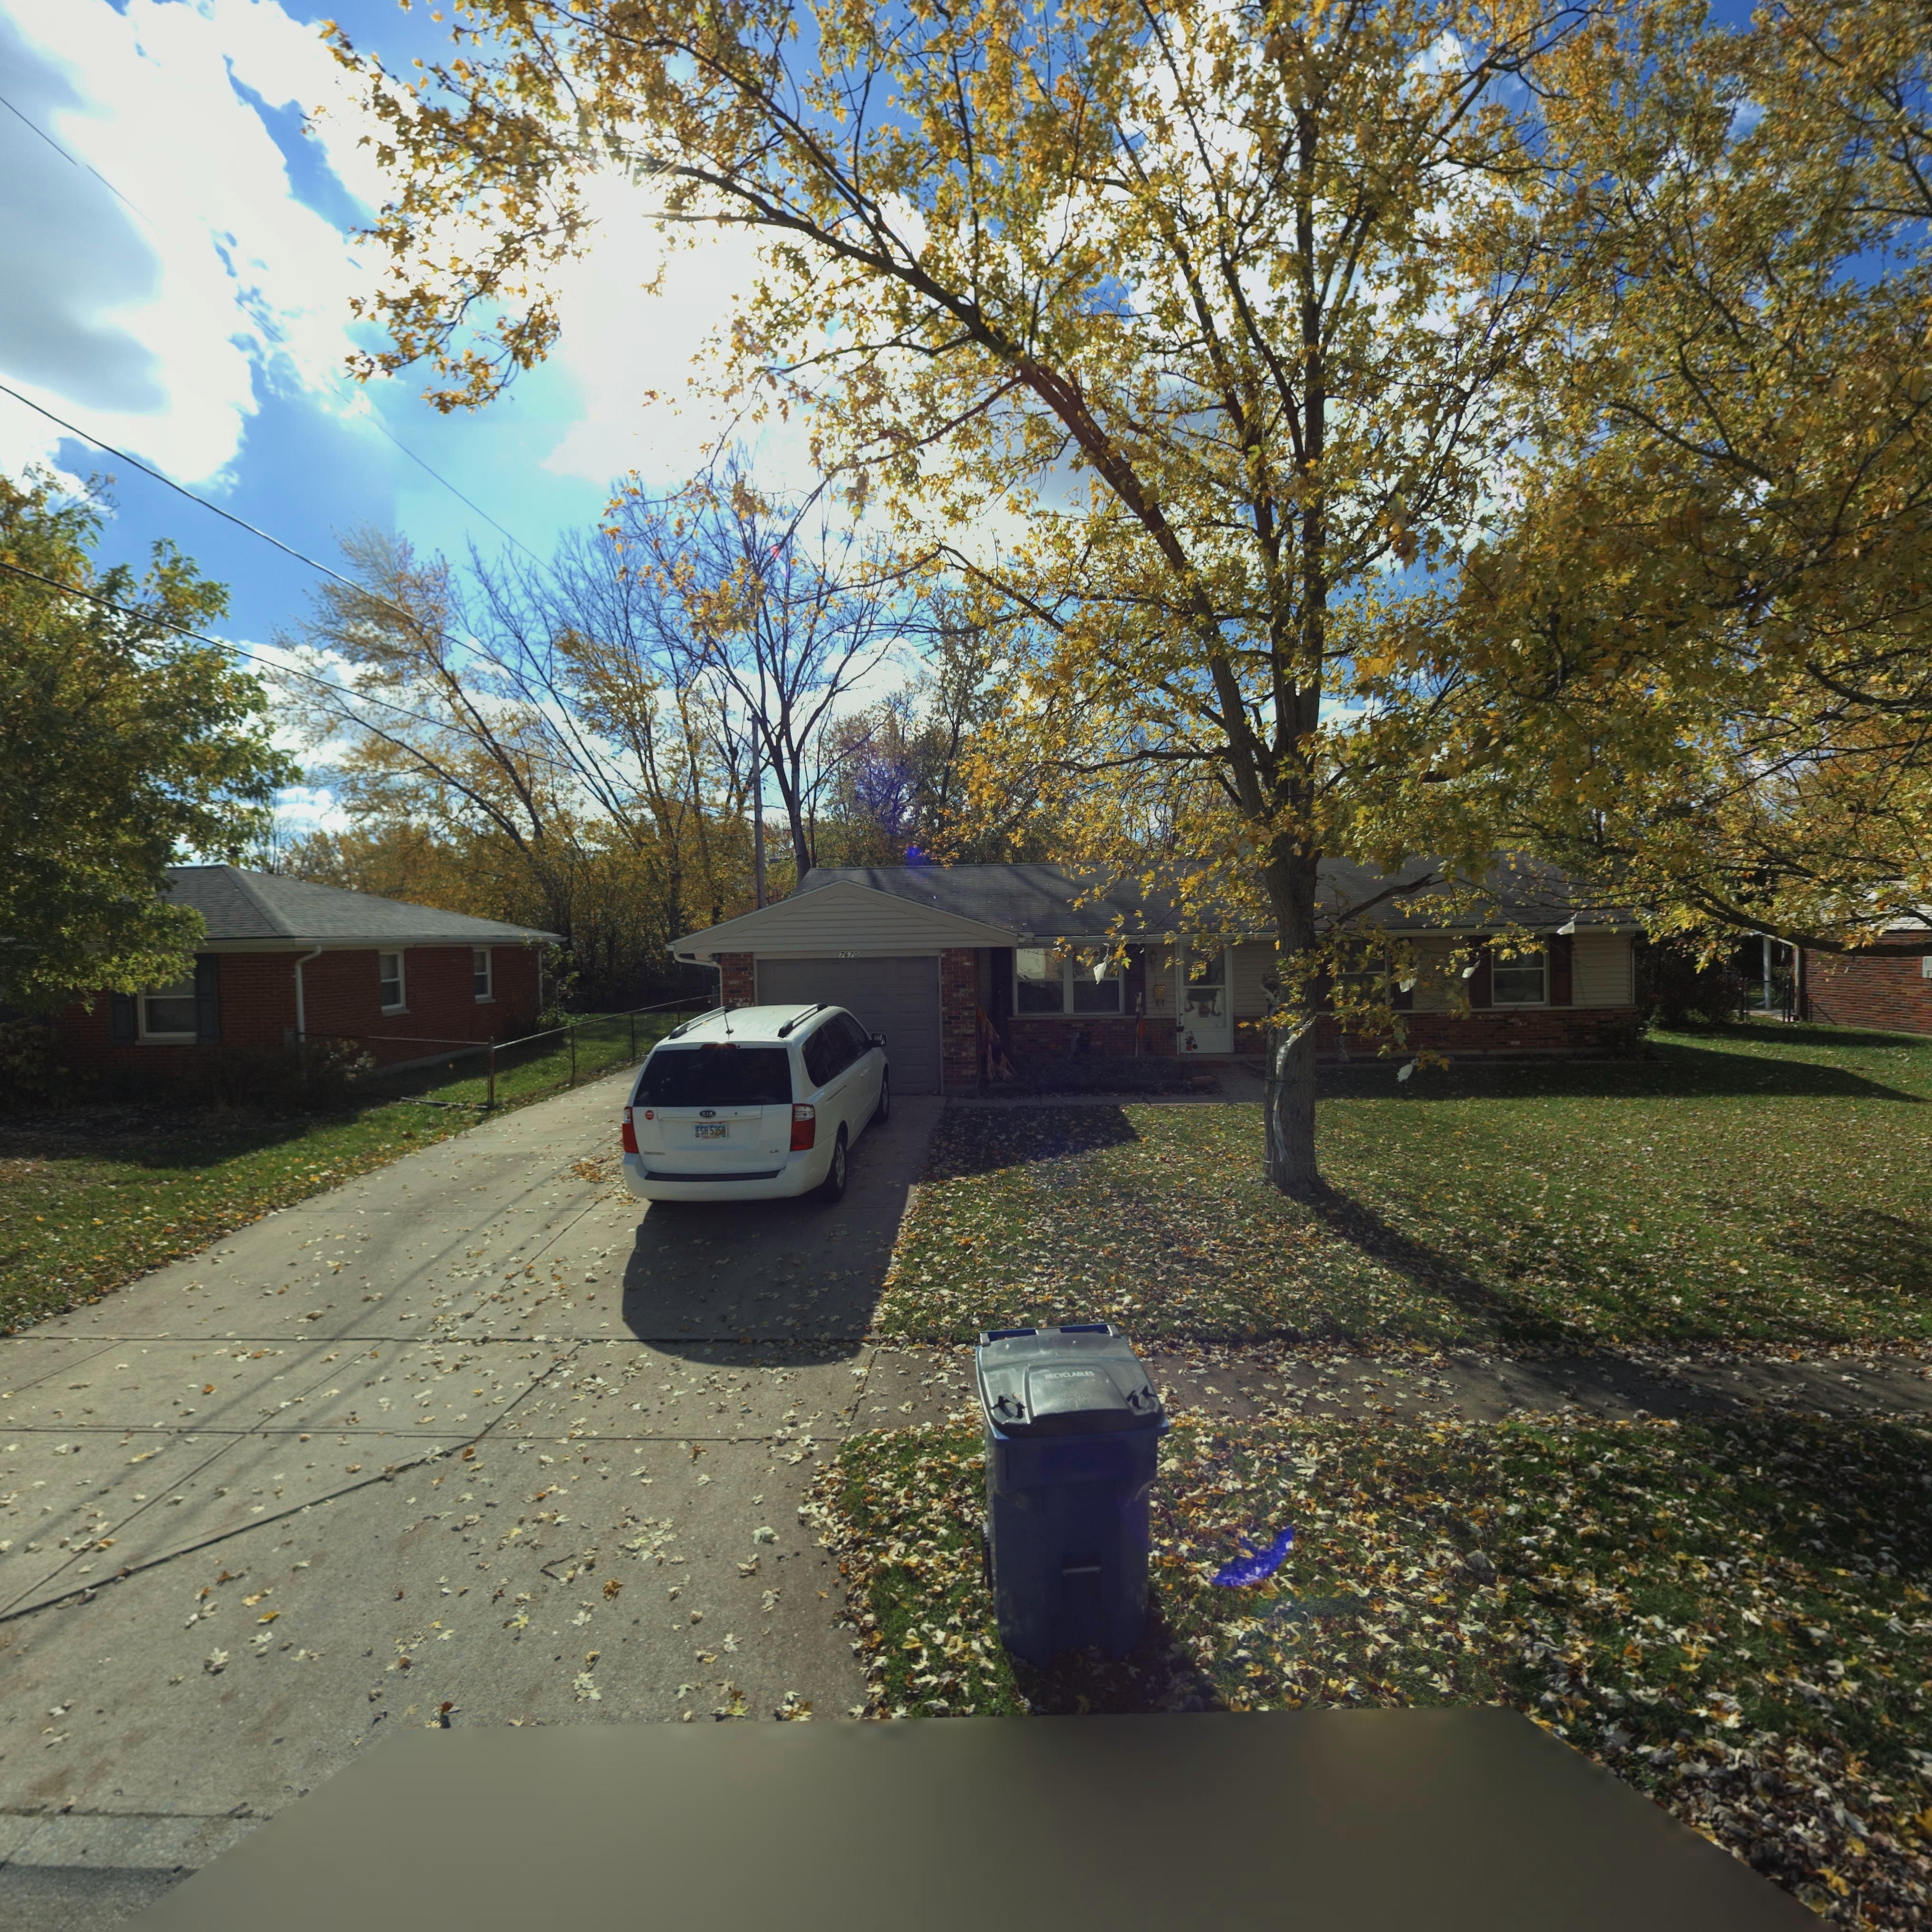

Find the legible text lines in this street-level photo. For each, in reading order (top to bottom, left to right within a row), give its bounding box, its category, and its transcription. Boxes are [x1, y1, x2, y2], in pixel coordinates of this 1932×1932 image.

[839, 951, 860, 958] StreetNumber: 7670